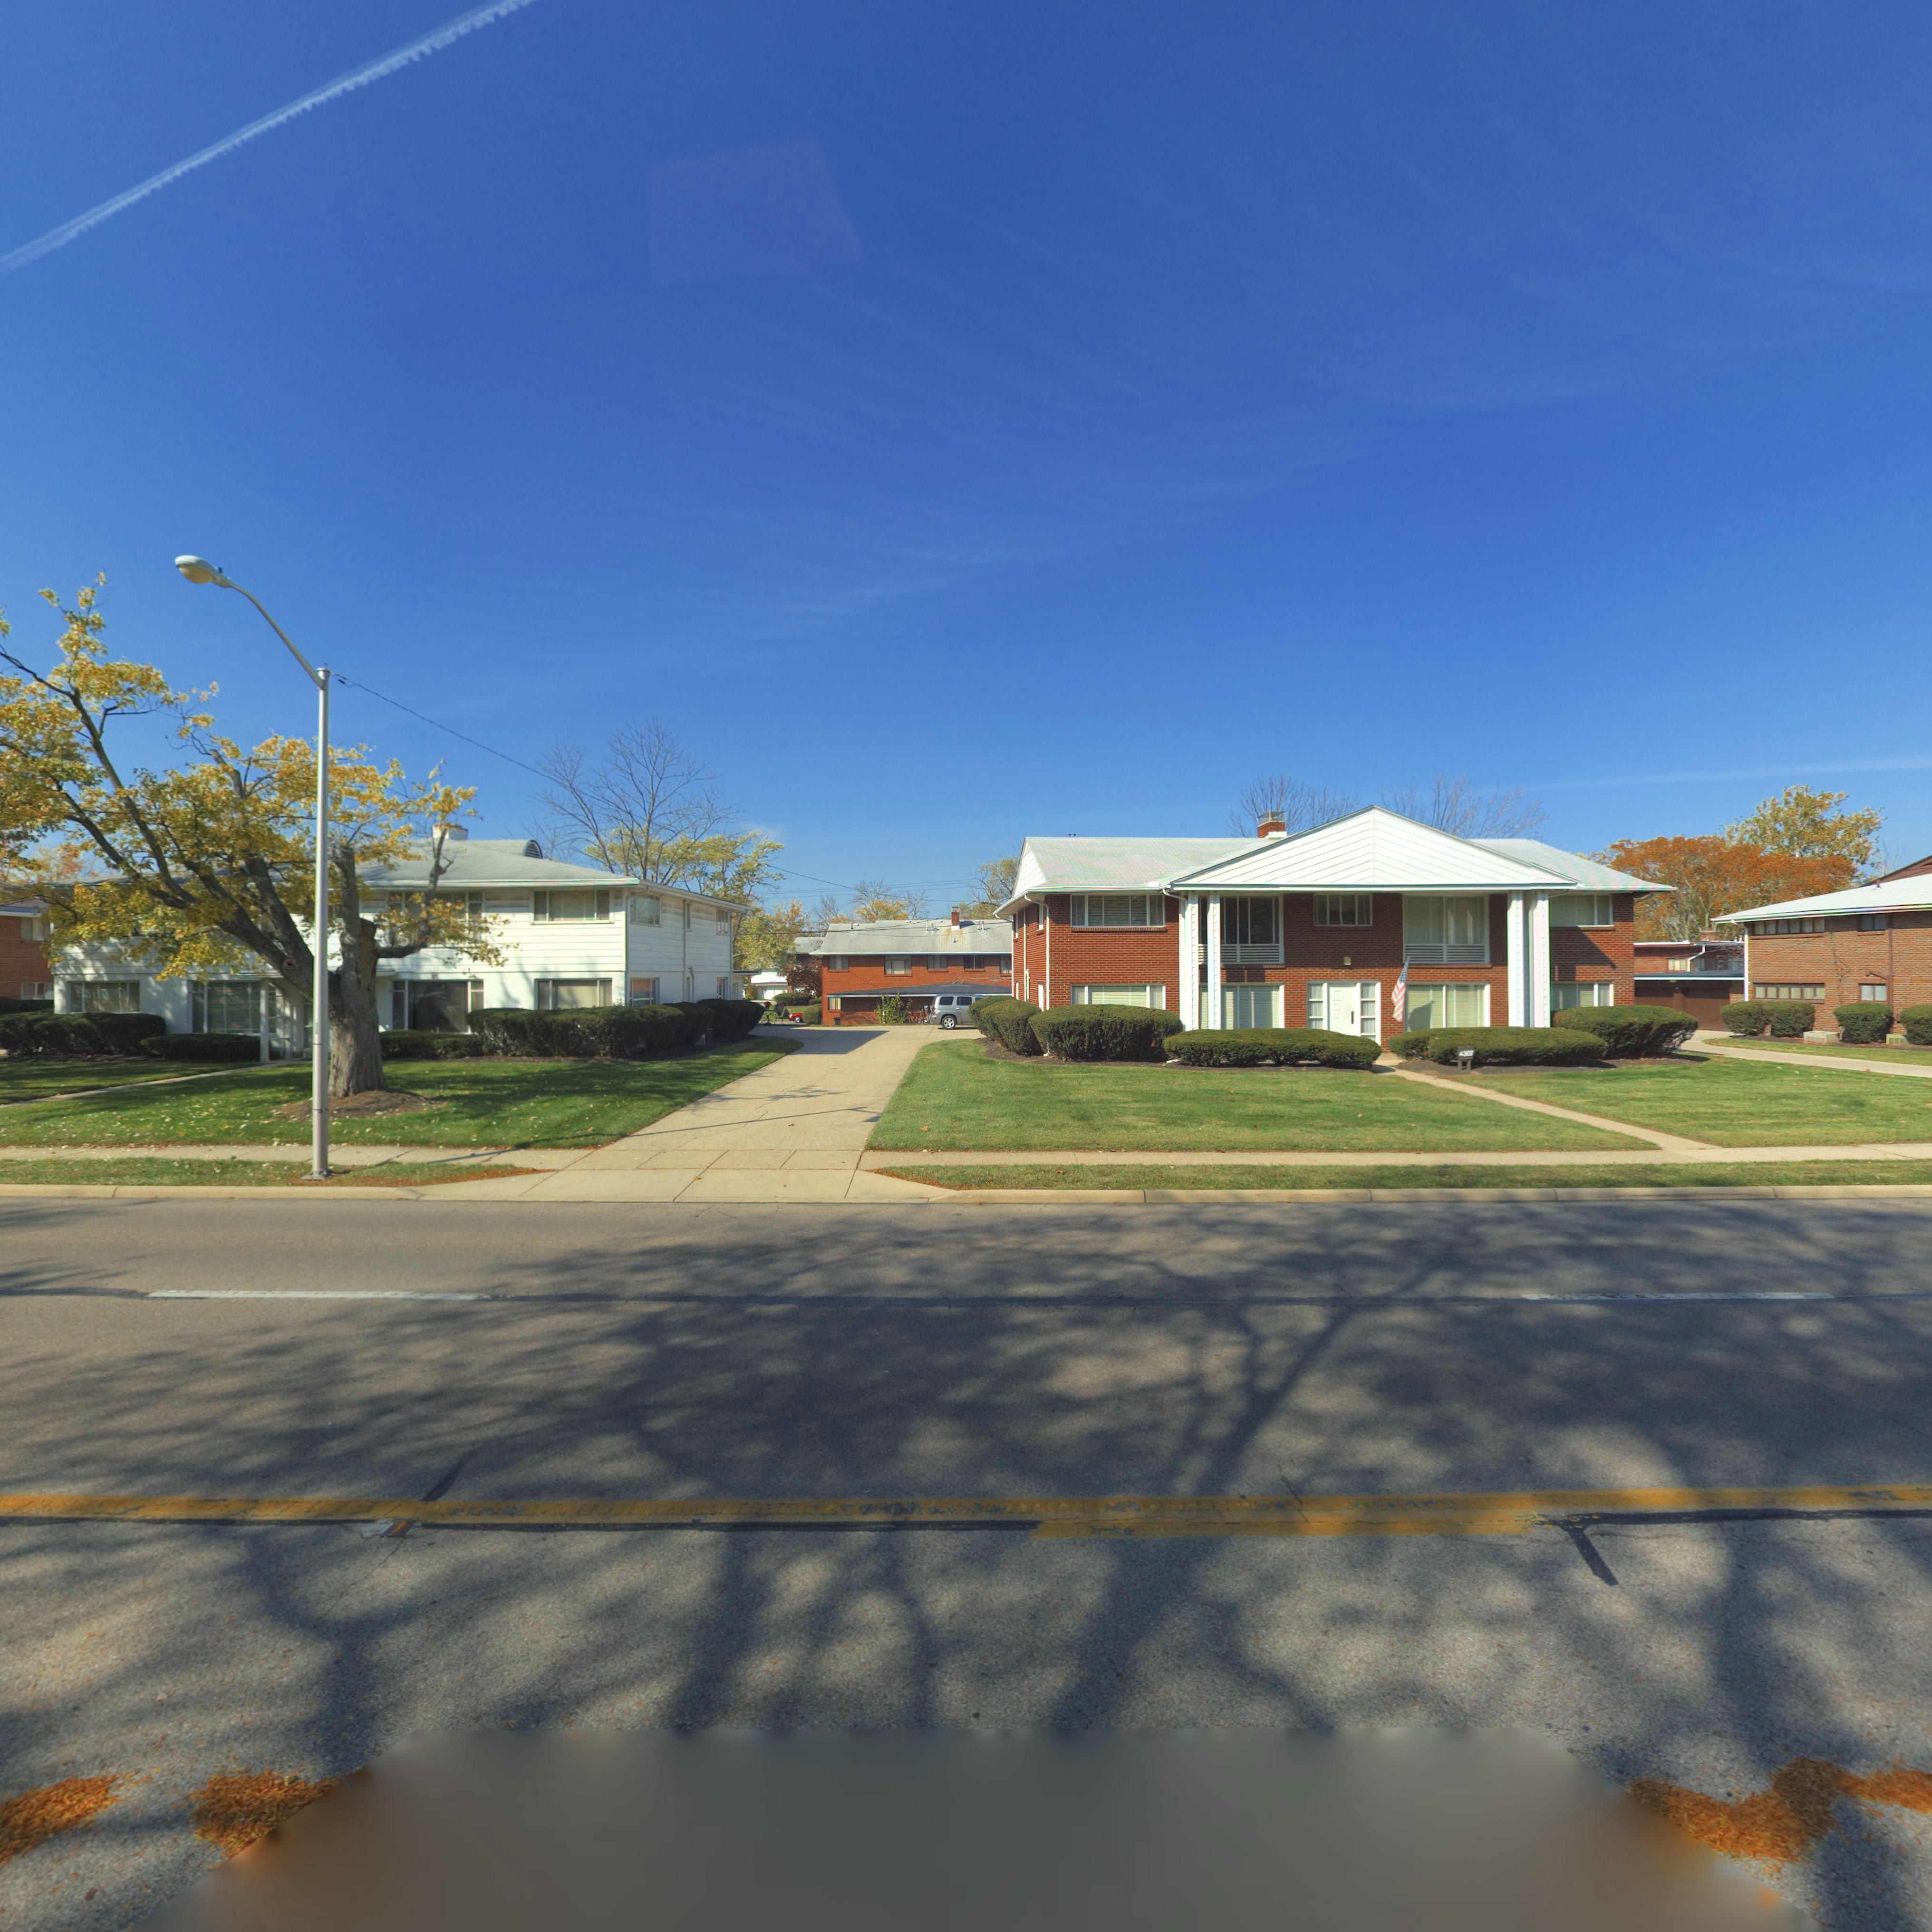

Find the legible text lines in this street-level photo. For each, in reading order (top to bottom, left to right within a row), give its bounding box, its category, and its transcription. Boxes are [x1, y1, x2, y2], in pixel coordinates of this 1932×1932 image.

[1458, 1049, 1475, 1059] StreetNumber: 4307